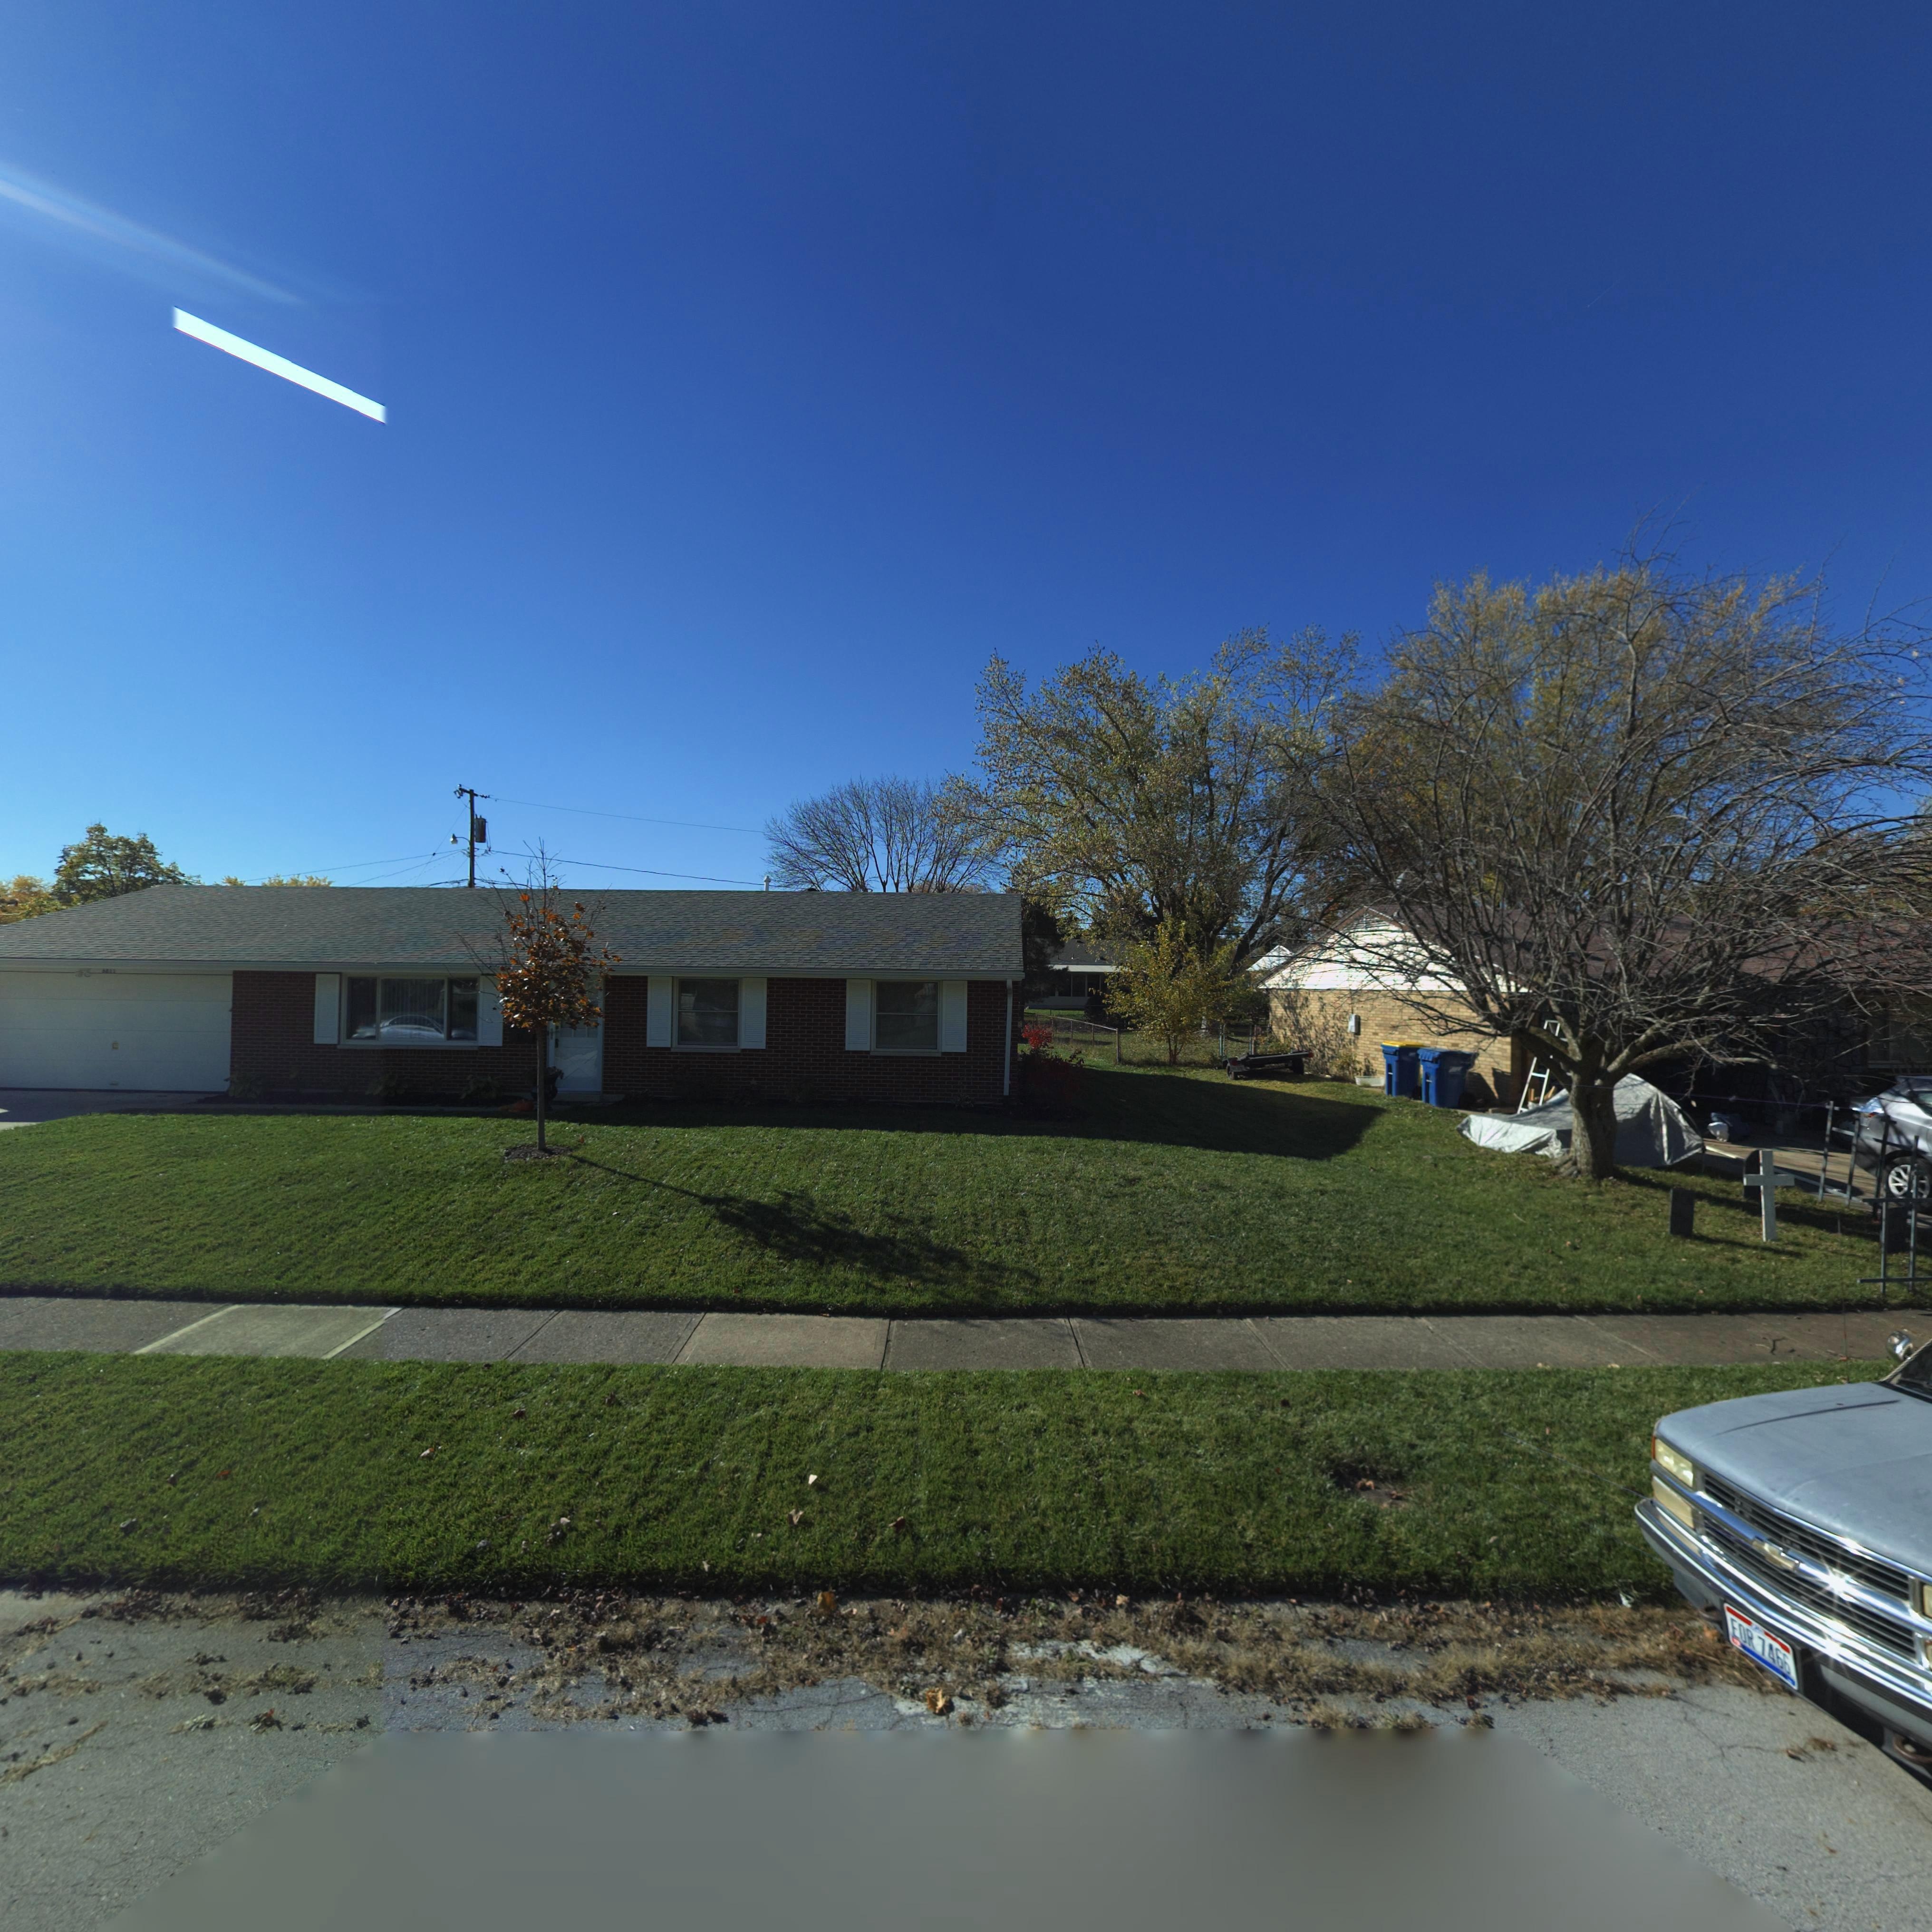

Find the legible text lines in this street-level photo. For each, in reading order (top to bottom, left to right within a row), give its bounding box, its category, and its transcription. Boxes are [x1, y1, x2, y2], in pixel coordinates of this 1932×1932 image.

[102, 968, 116, 974] StreetNumber: 6811
[1730, 1615, 1792, 1678] None: EDR*7466